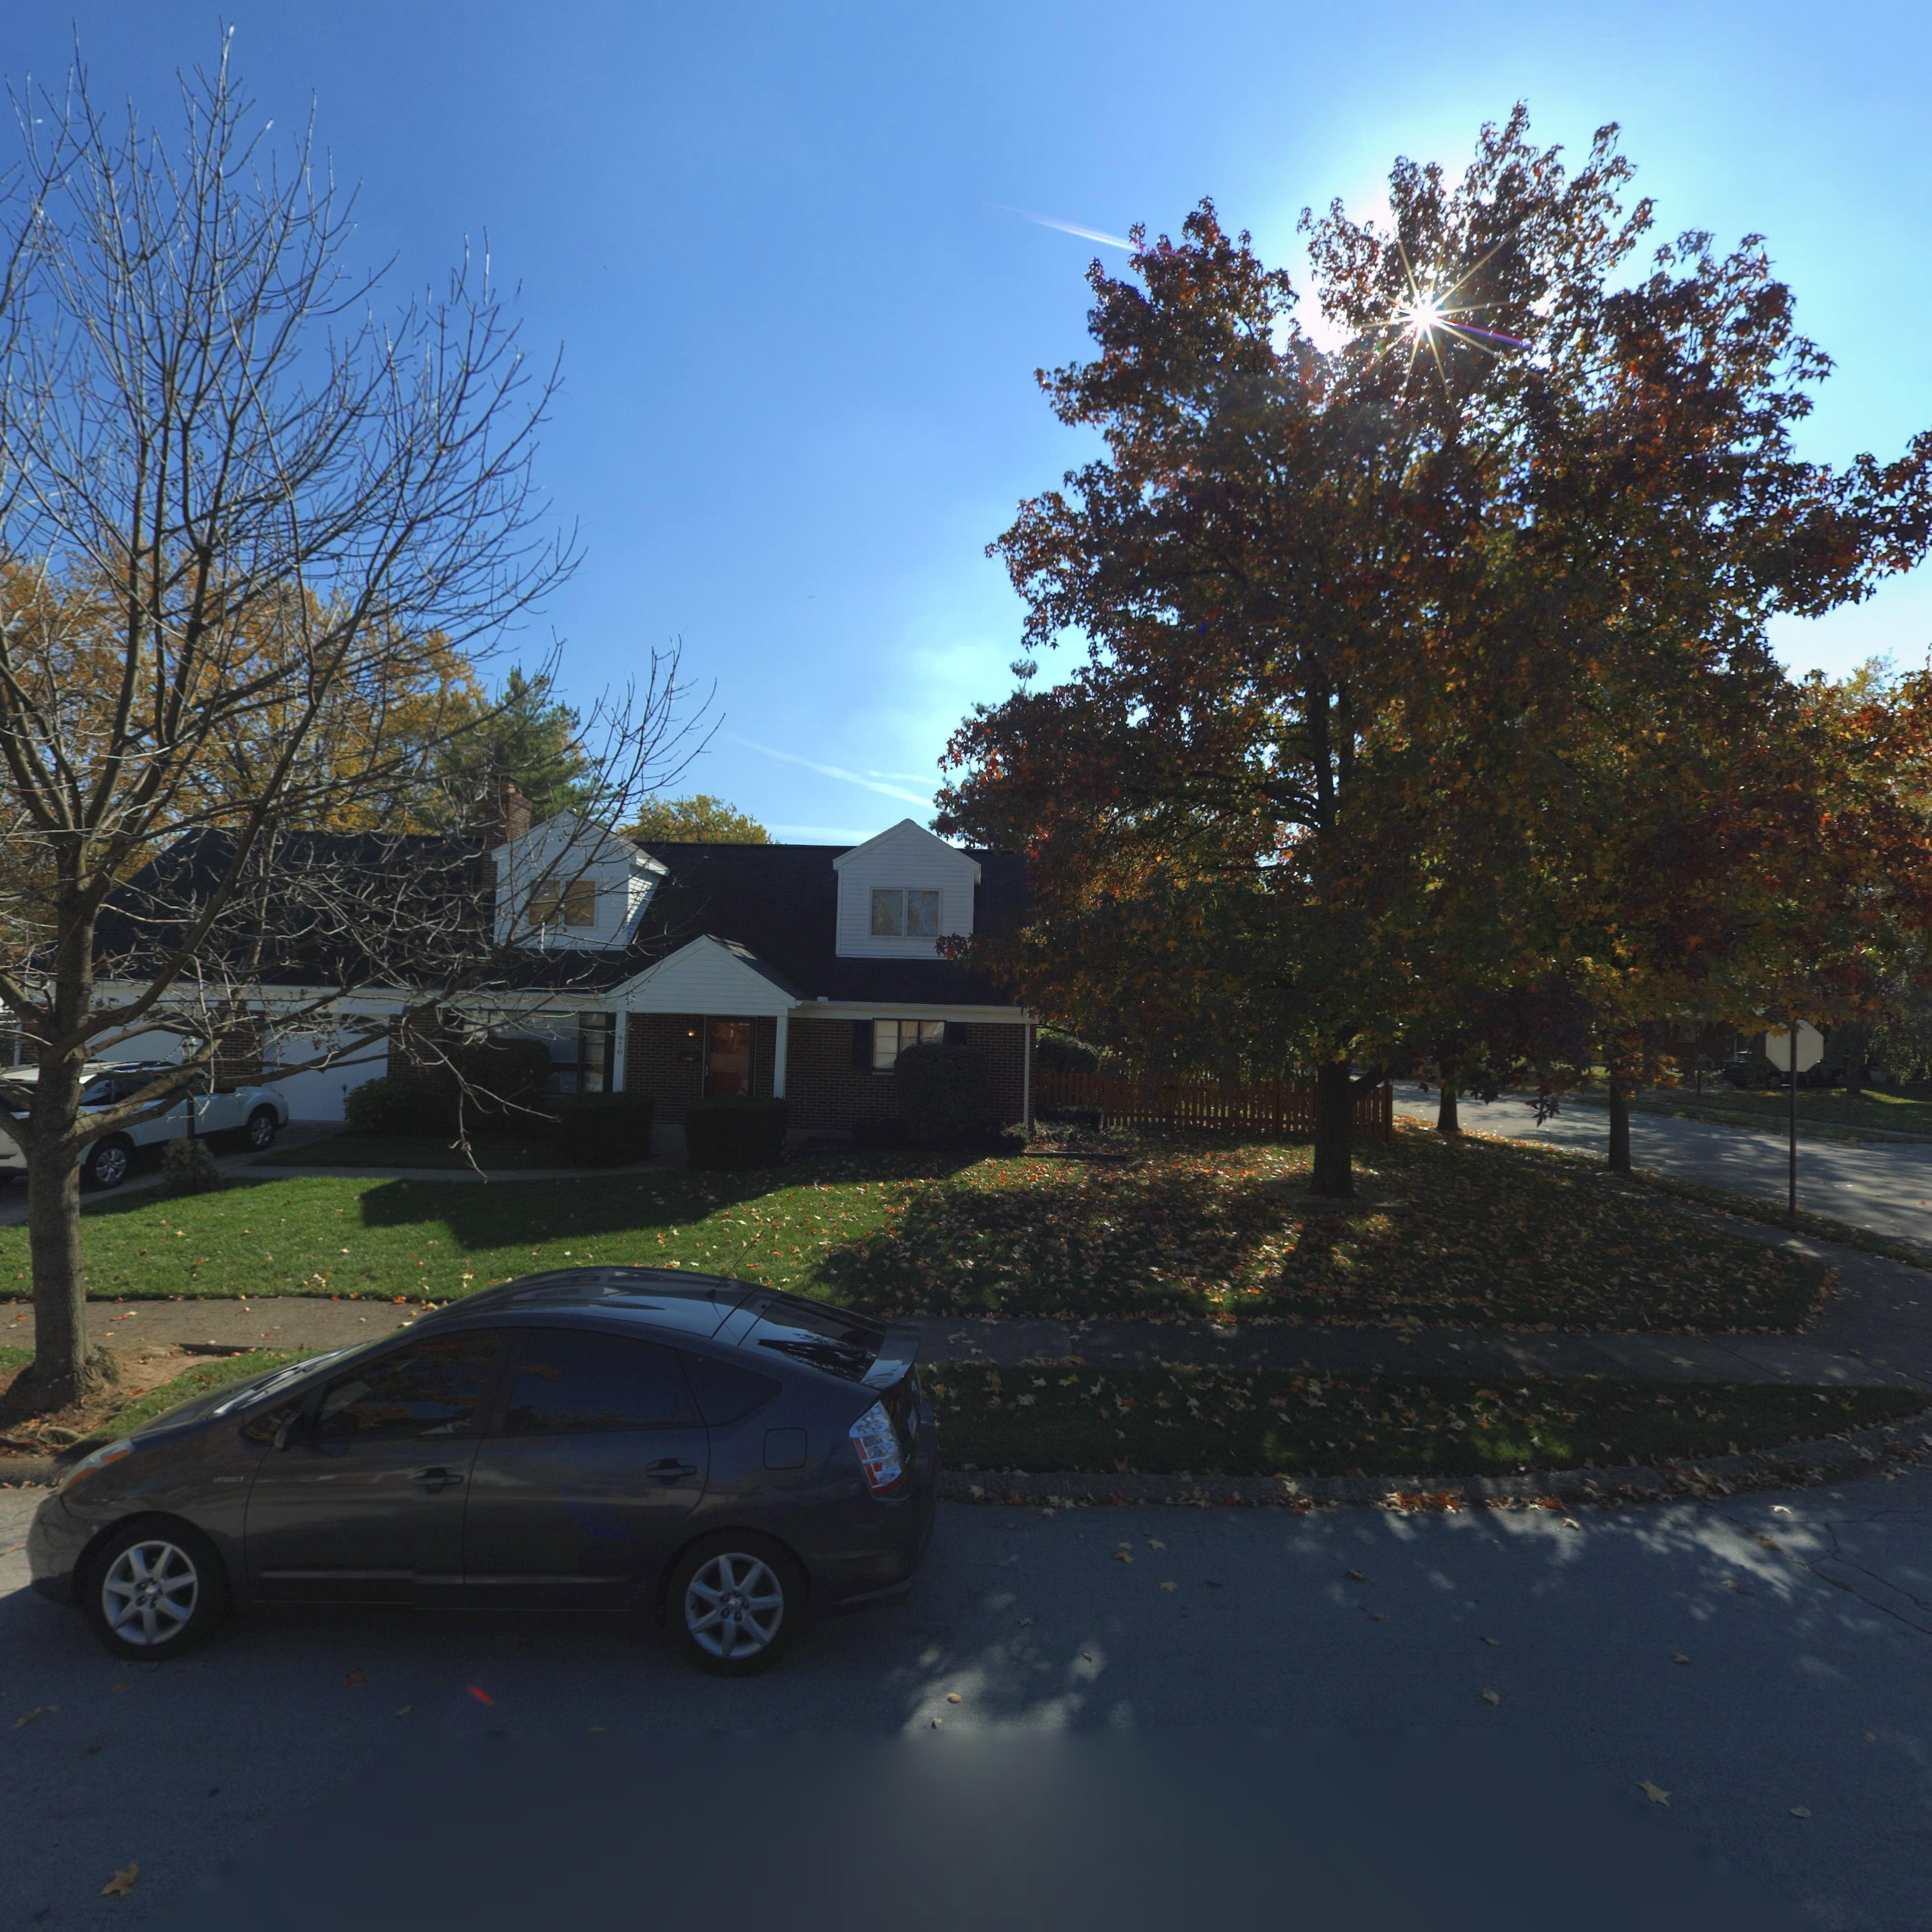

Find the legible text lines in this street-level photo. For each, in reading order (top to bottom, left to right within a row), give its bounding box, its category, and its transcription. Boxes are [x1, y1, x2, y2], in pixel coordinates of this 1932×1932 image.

[617, 1034, 623, 1055] StreetNumber: 970